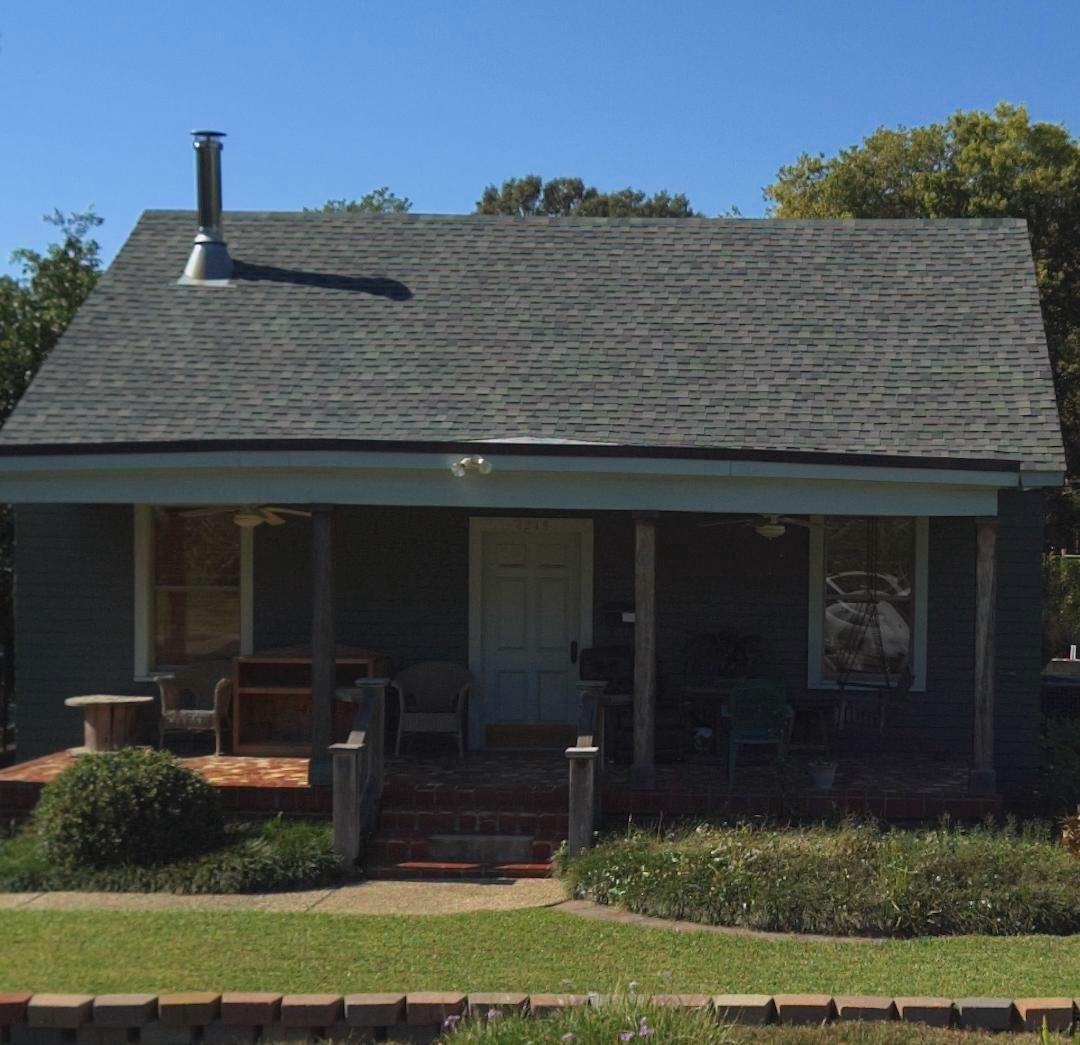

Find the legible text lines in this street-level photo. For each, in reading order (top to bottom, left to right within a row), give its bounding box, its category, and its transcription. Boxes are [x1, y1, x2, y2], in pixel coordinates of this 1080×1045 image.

[513, 518, 550, 532] StreetNumber: 2215